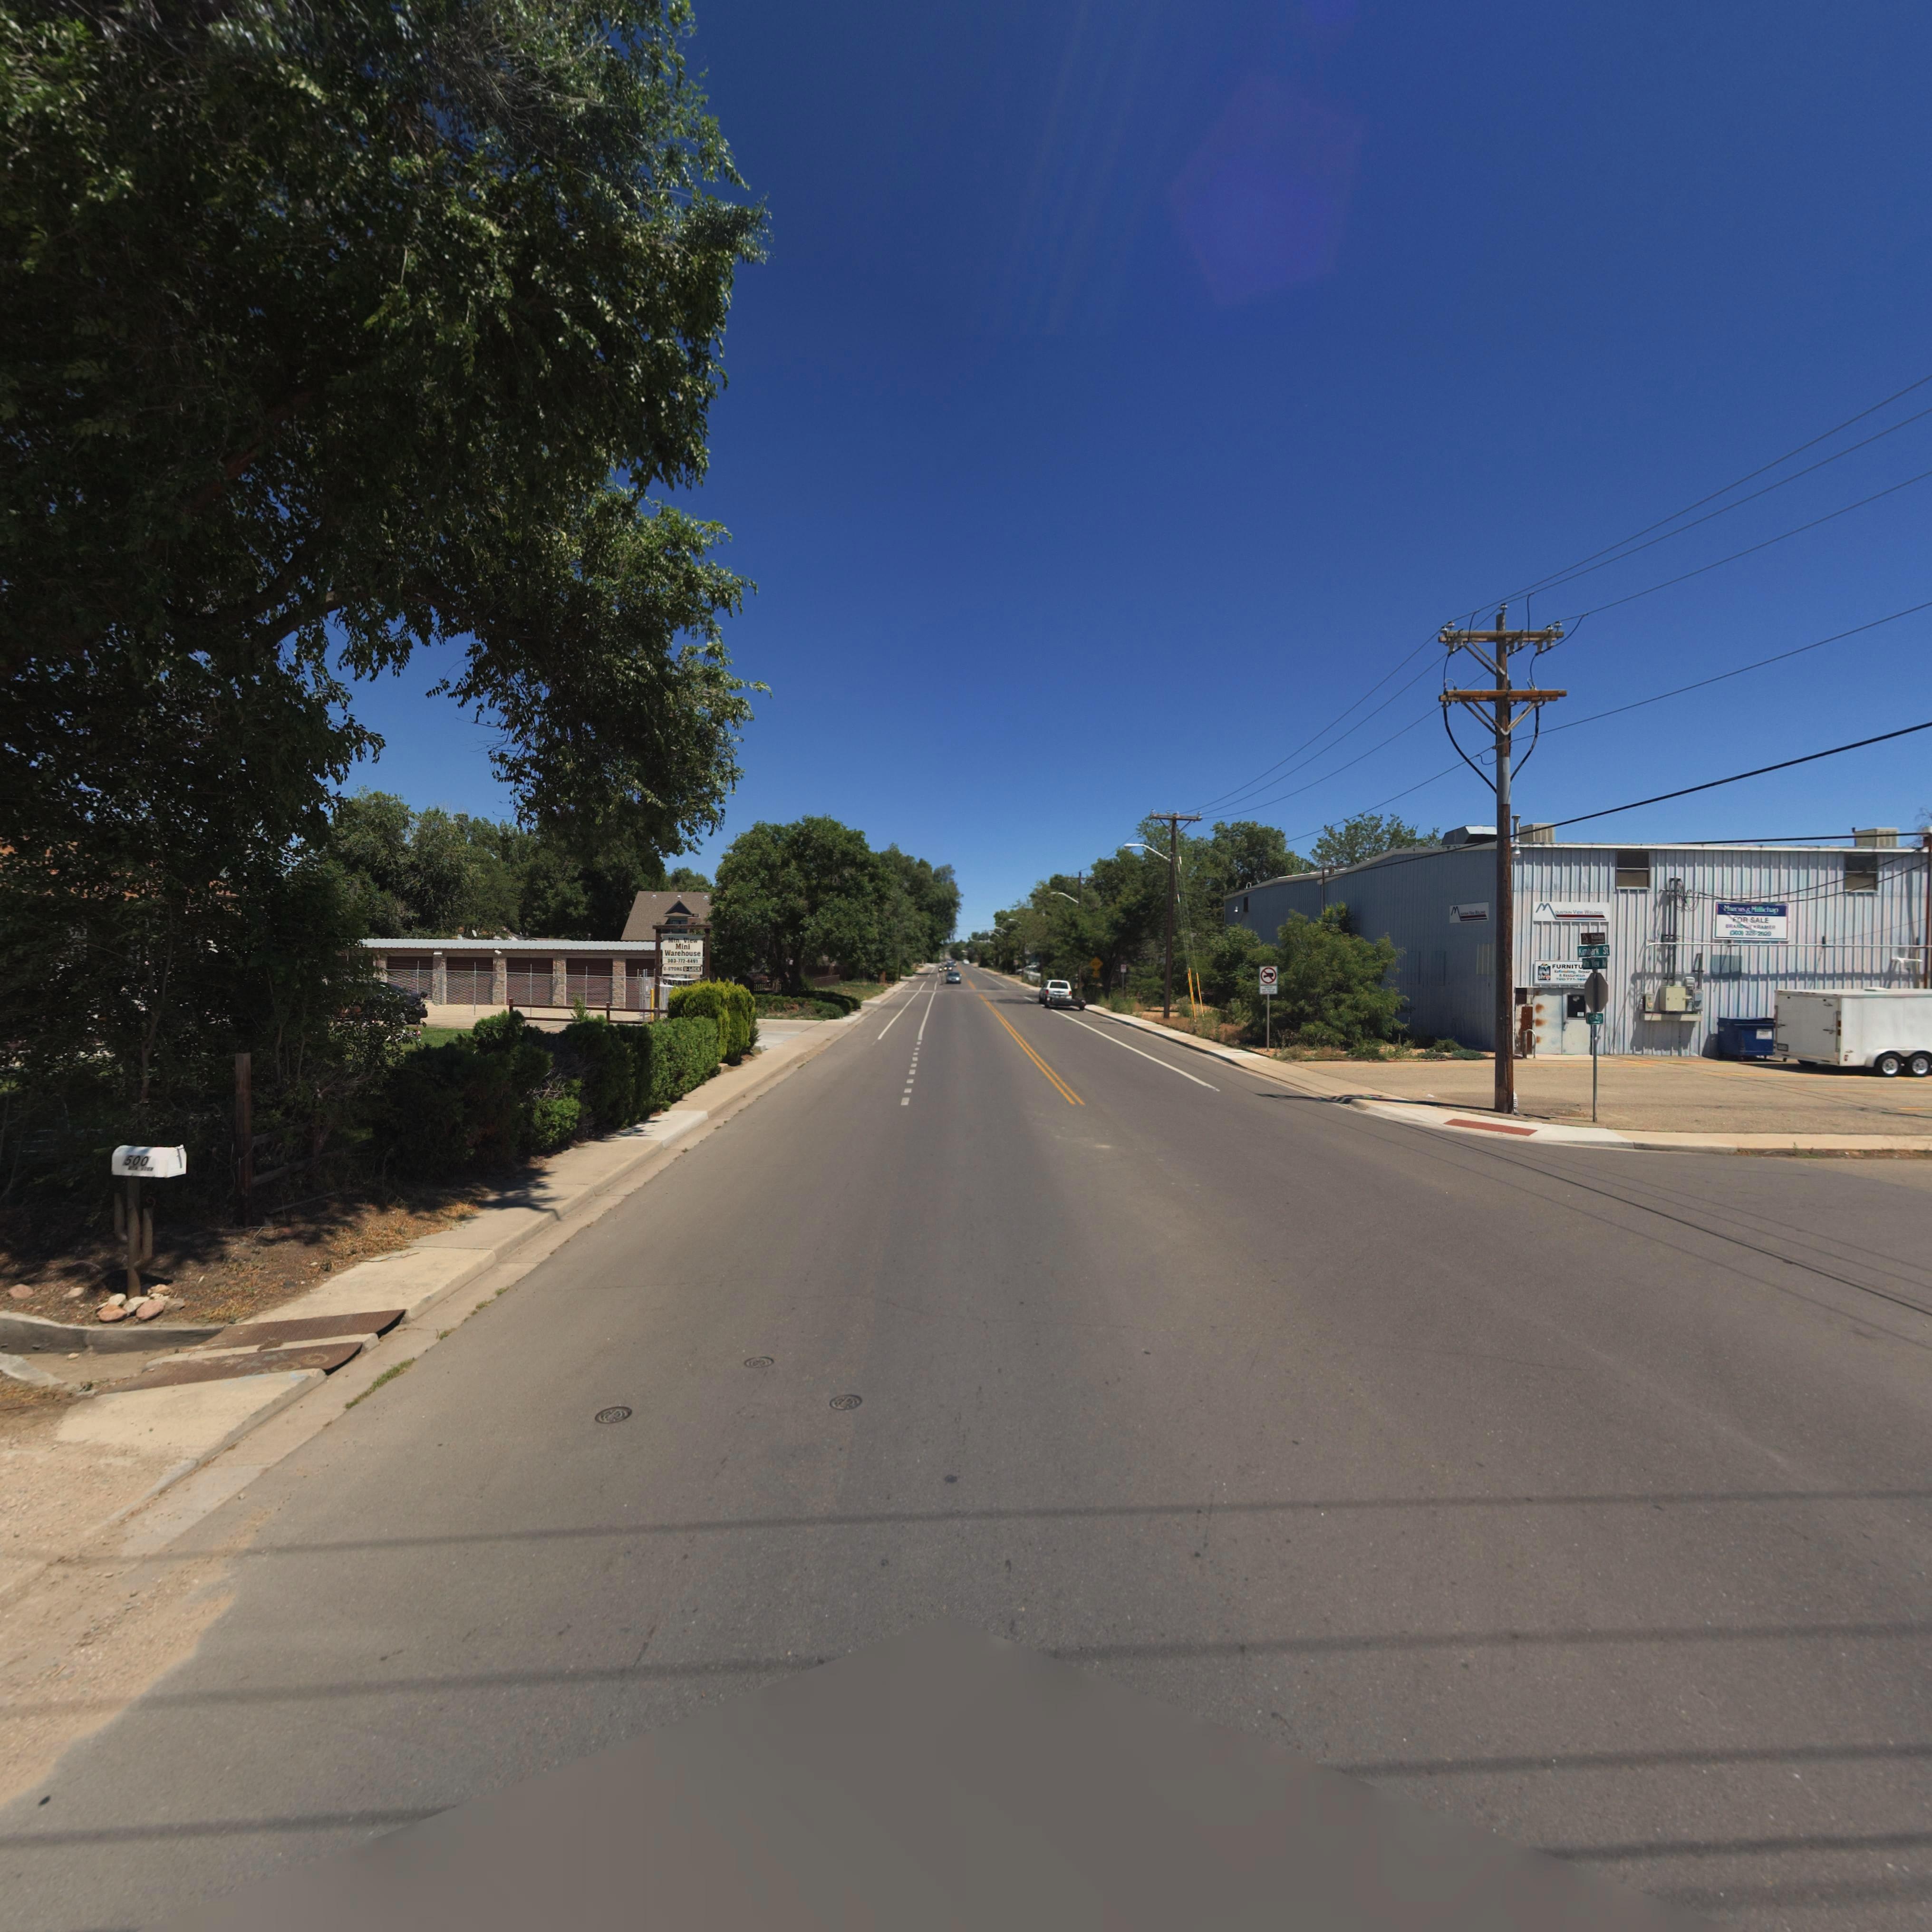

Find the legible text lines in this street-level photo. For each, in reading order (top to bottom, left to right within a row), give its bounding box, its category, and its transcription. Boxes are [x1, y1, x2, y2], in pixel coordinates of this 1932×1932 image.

[1450, 906, 1459, 916] BusinessName: M
[1460, 910, 1485, 915] BusinessName: OUNTAIN VIEW WELDING
[1535, 902, 1554, 913] BusinessName: M
[1555, 909, 1604, 914] BusinessName: OUNTAIN VIEW WELDING
[668, 937, 698, 943] BusinessName: Mtn. View
[675, 943, 690, 949] BusinessName: Mini
[664, 949, 701, 956] BusinessName: Warehouse
[1578, 945, 1609, 956] StreetName: Kimbark St
[1583, 959, 1606, 967] StreetName: Mtn View Av
[124, 1154, 149, 1166] StreetNumber: 500
[127, 1165, 154, 1171] StreetName: MTN VIEW